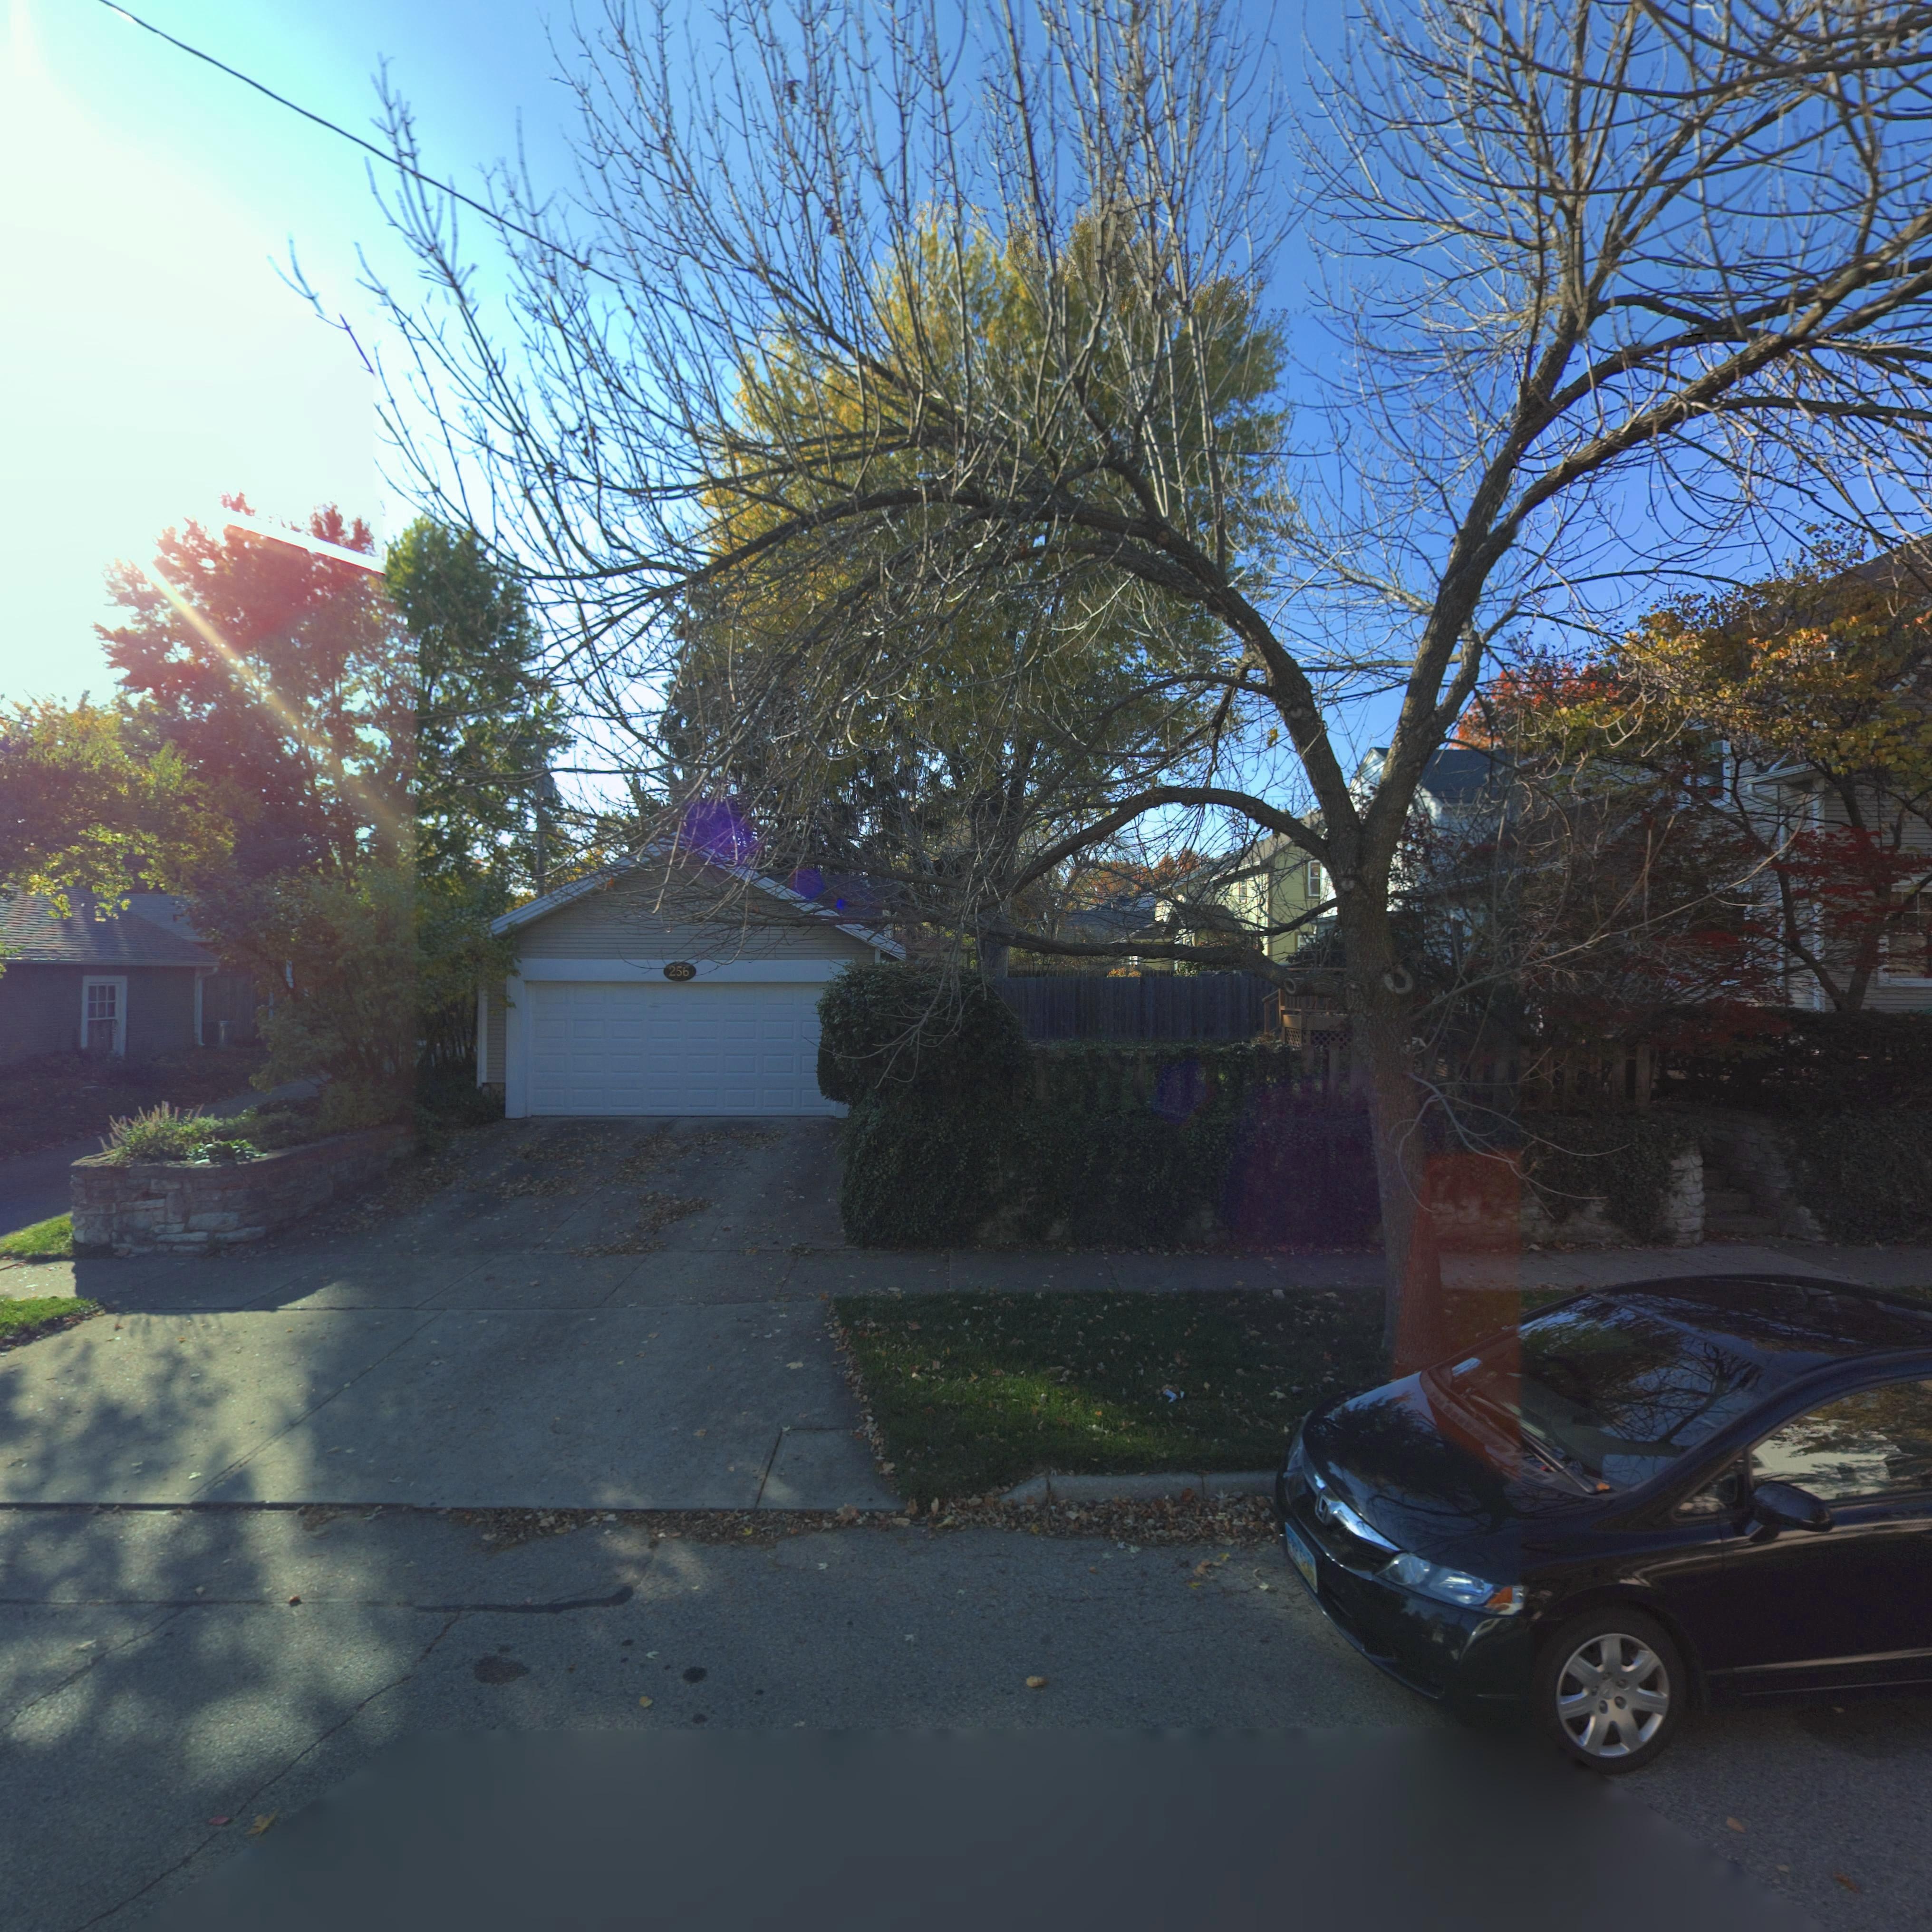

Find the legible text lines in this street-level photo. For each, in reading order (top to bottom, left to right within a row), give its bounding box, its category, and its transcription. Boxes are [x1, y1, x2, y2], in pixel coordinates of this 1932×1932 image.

[668, 965, 690, 977] StreetNumber: 256